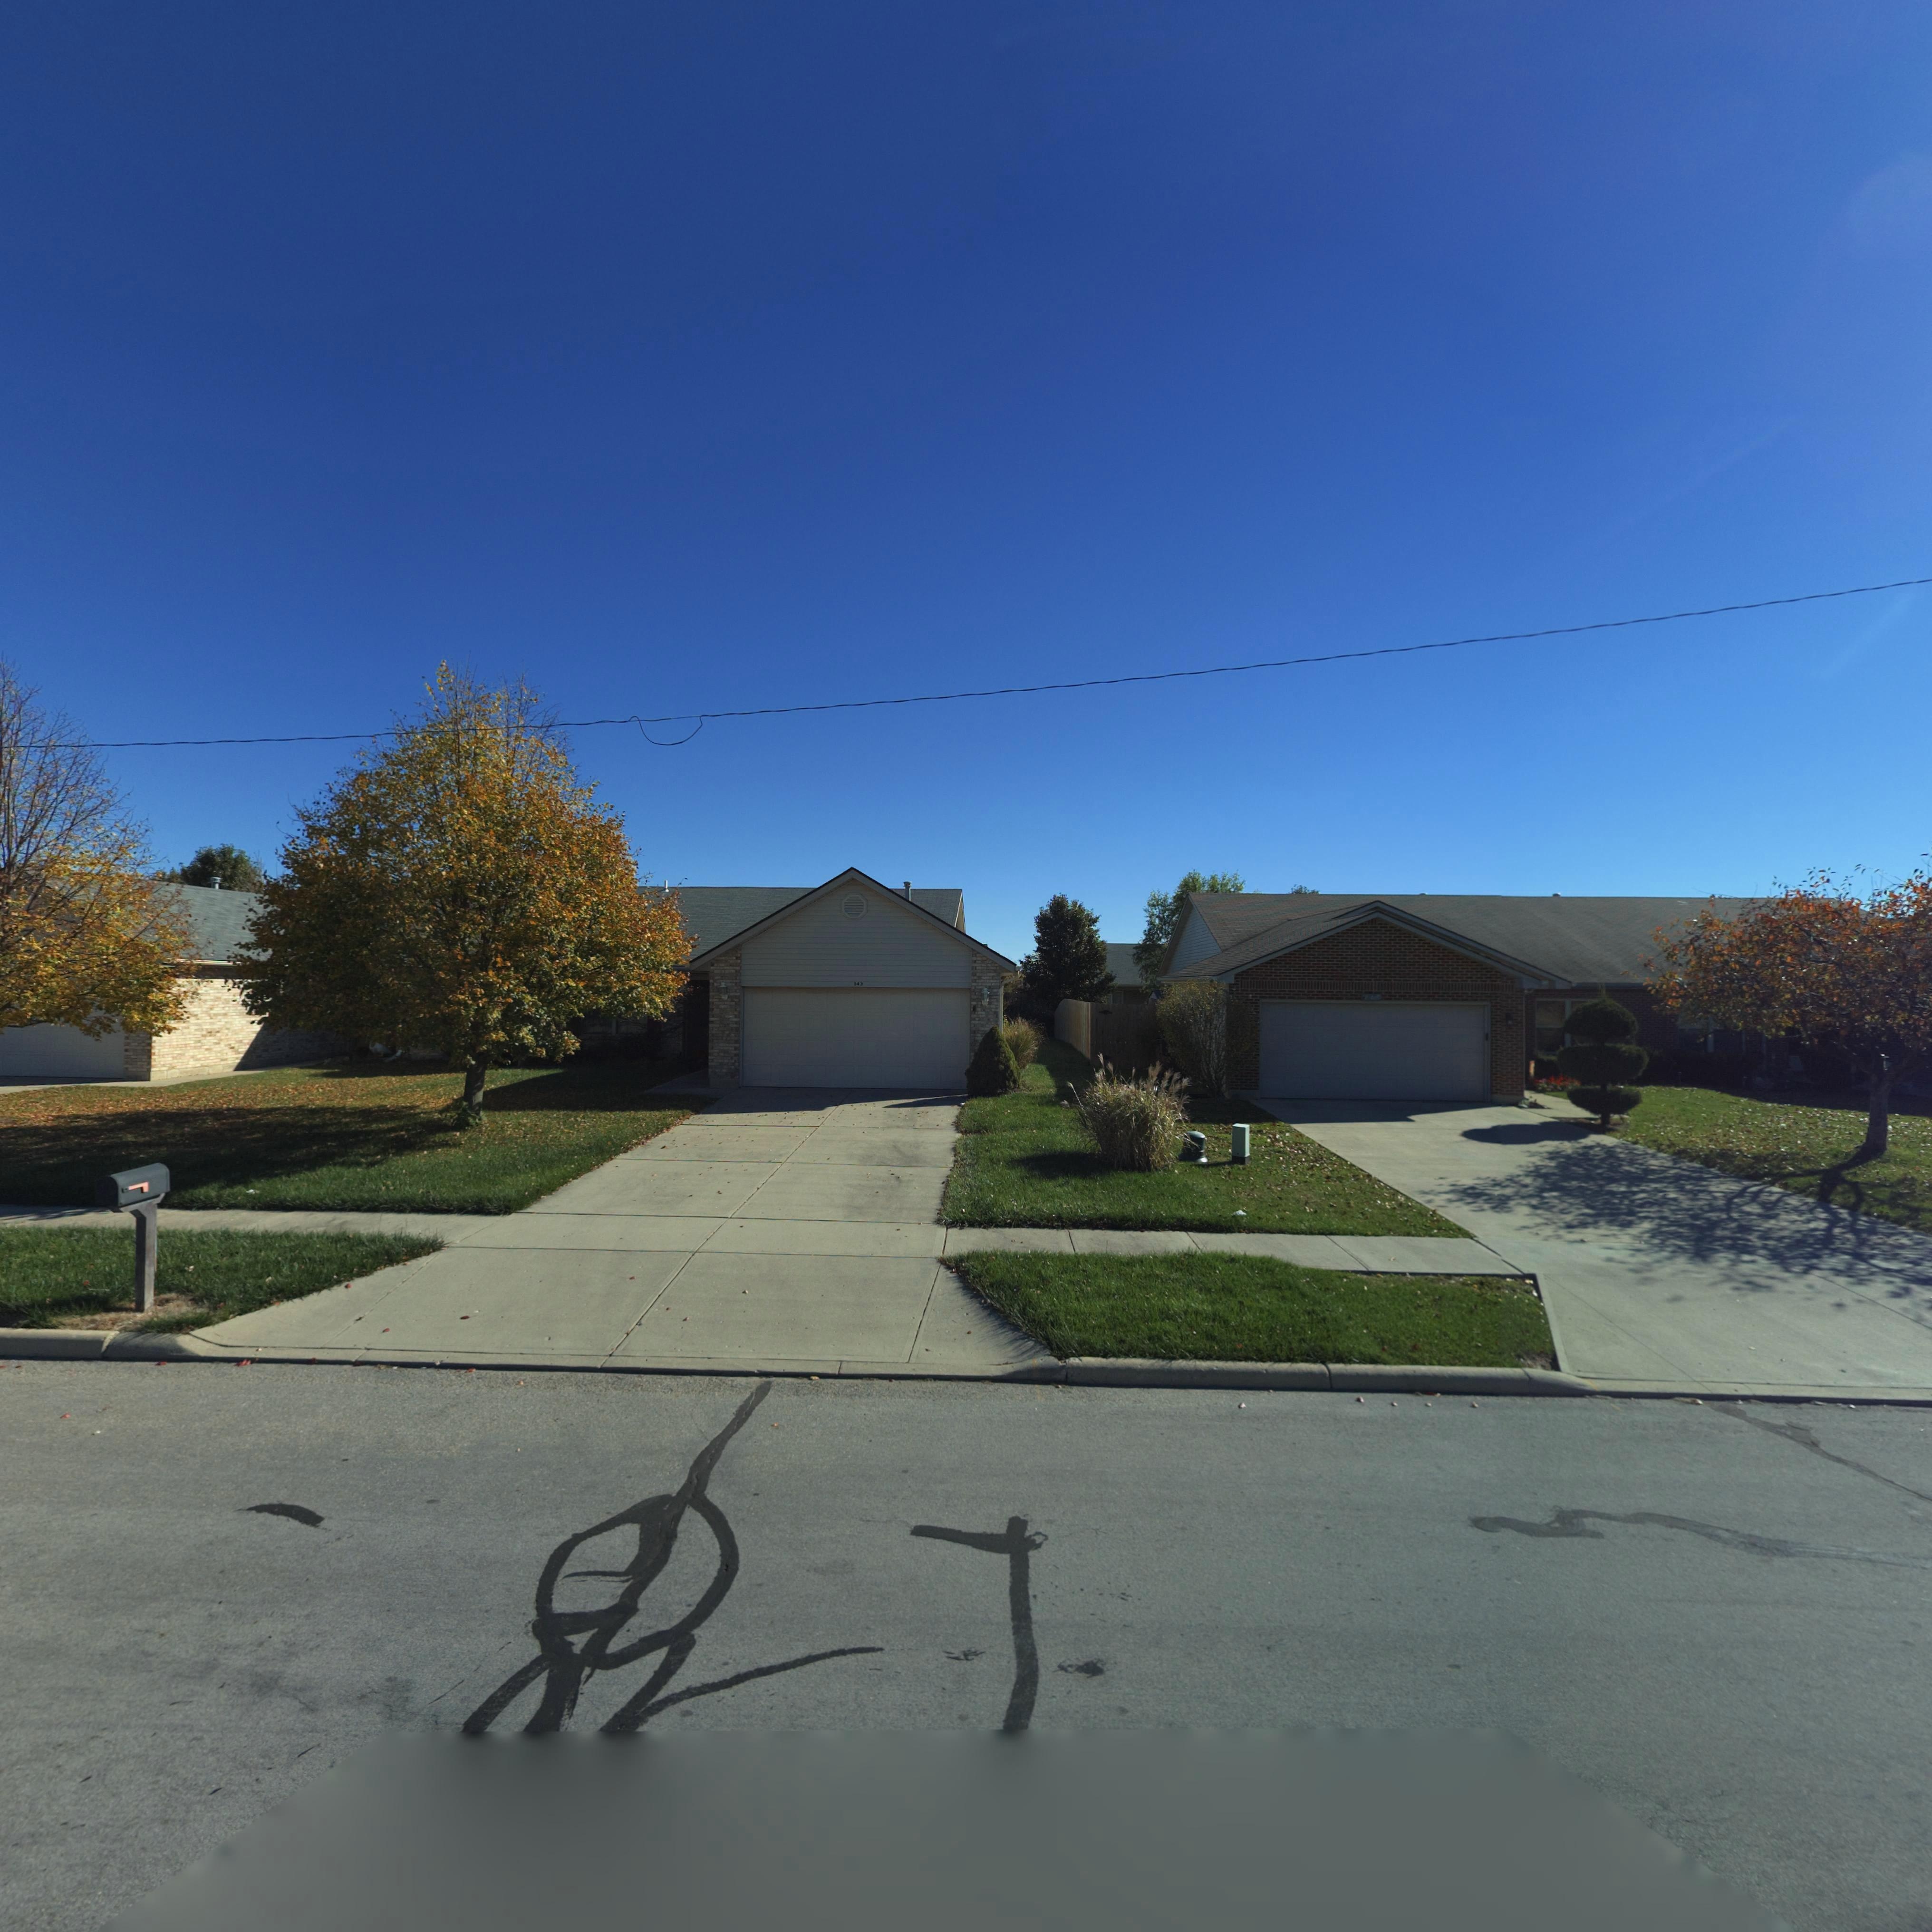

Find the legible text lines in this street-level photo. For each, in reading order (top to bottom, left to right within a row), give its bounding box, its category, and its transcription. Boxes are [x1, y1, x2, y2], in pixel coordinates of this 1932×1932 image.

[853, 981, 863, 986] StreetNumber: 143